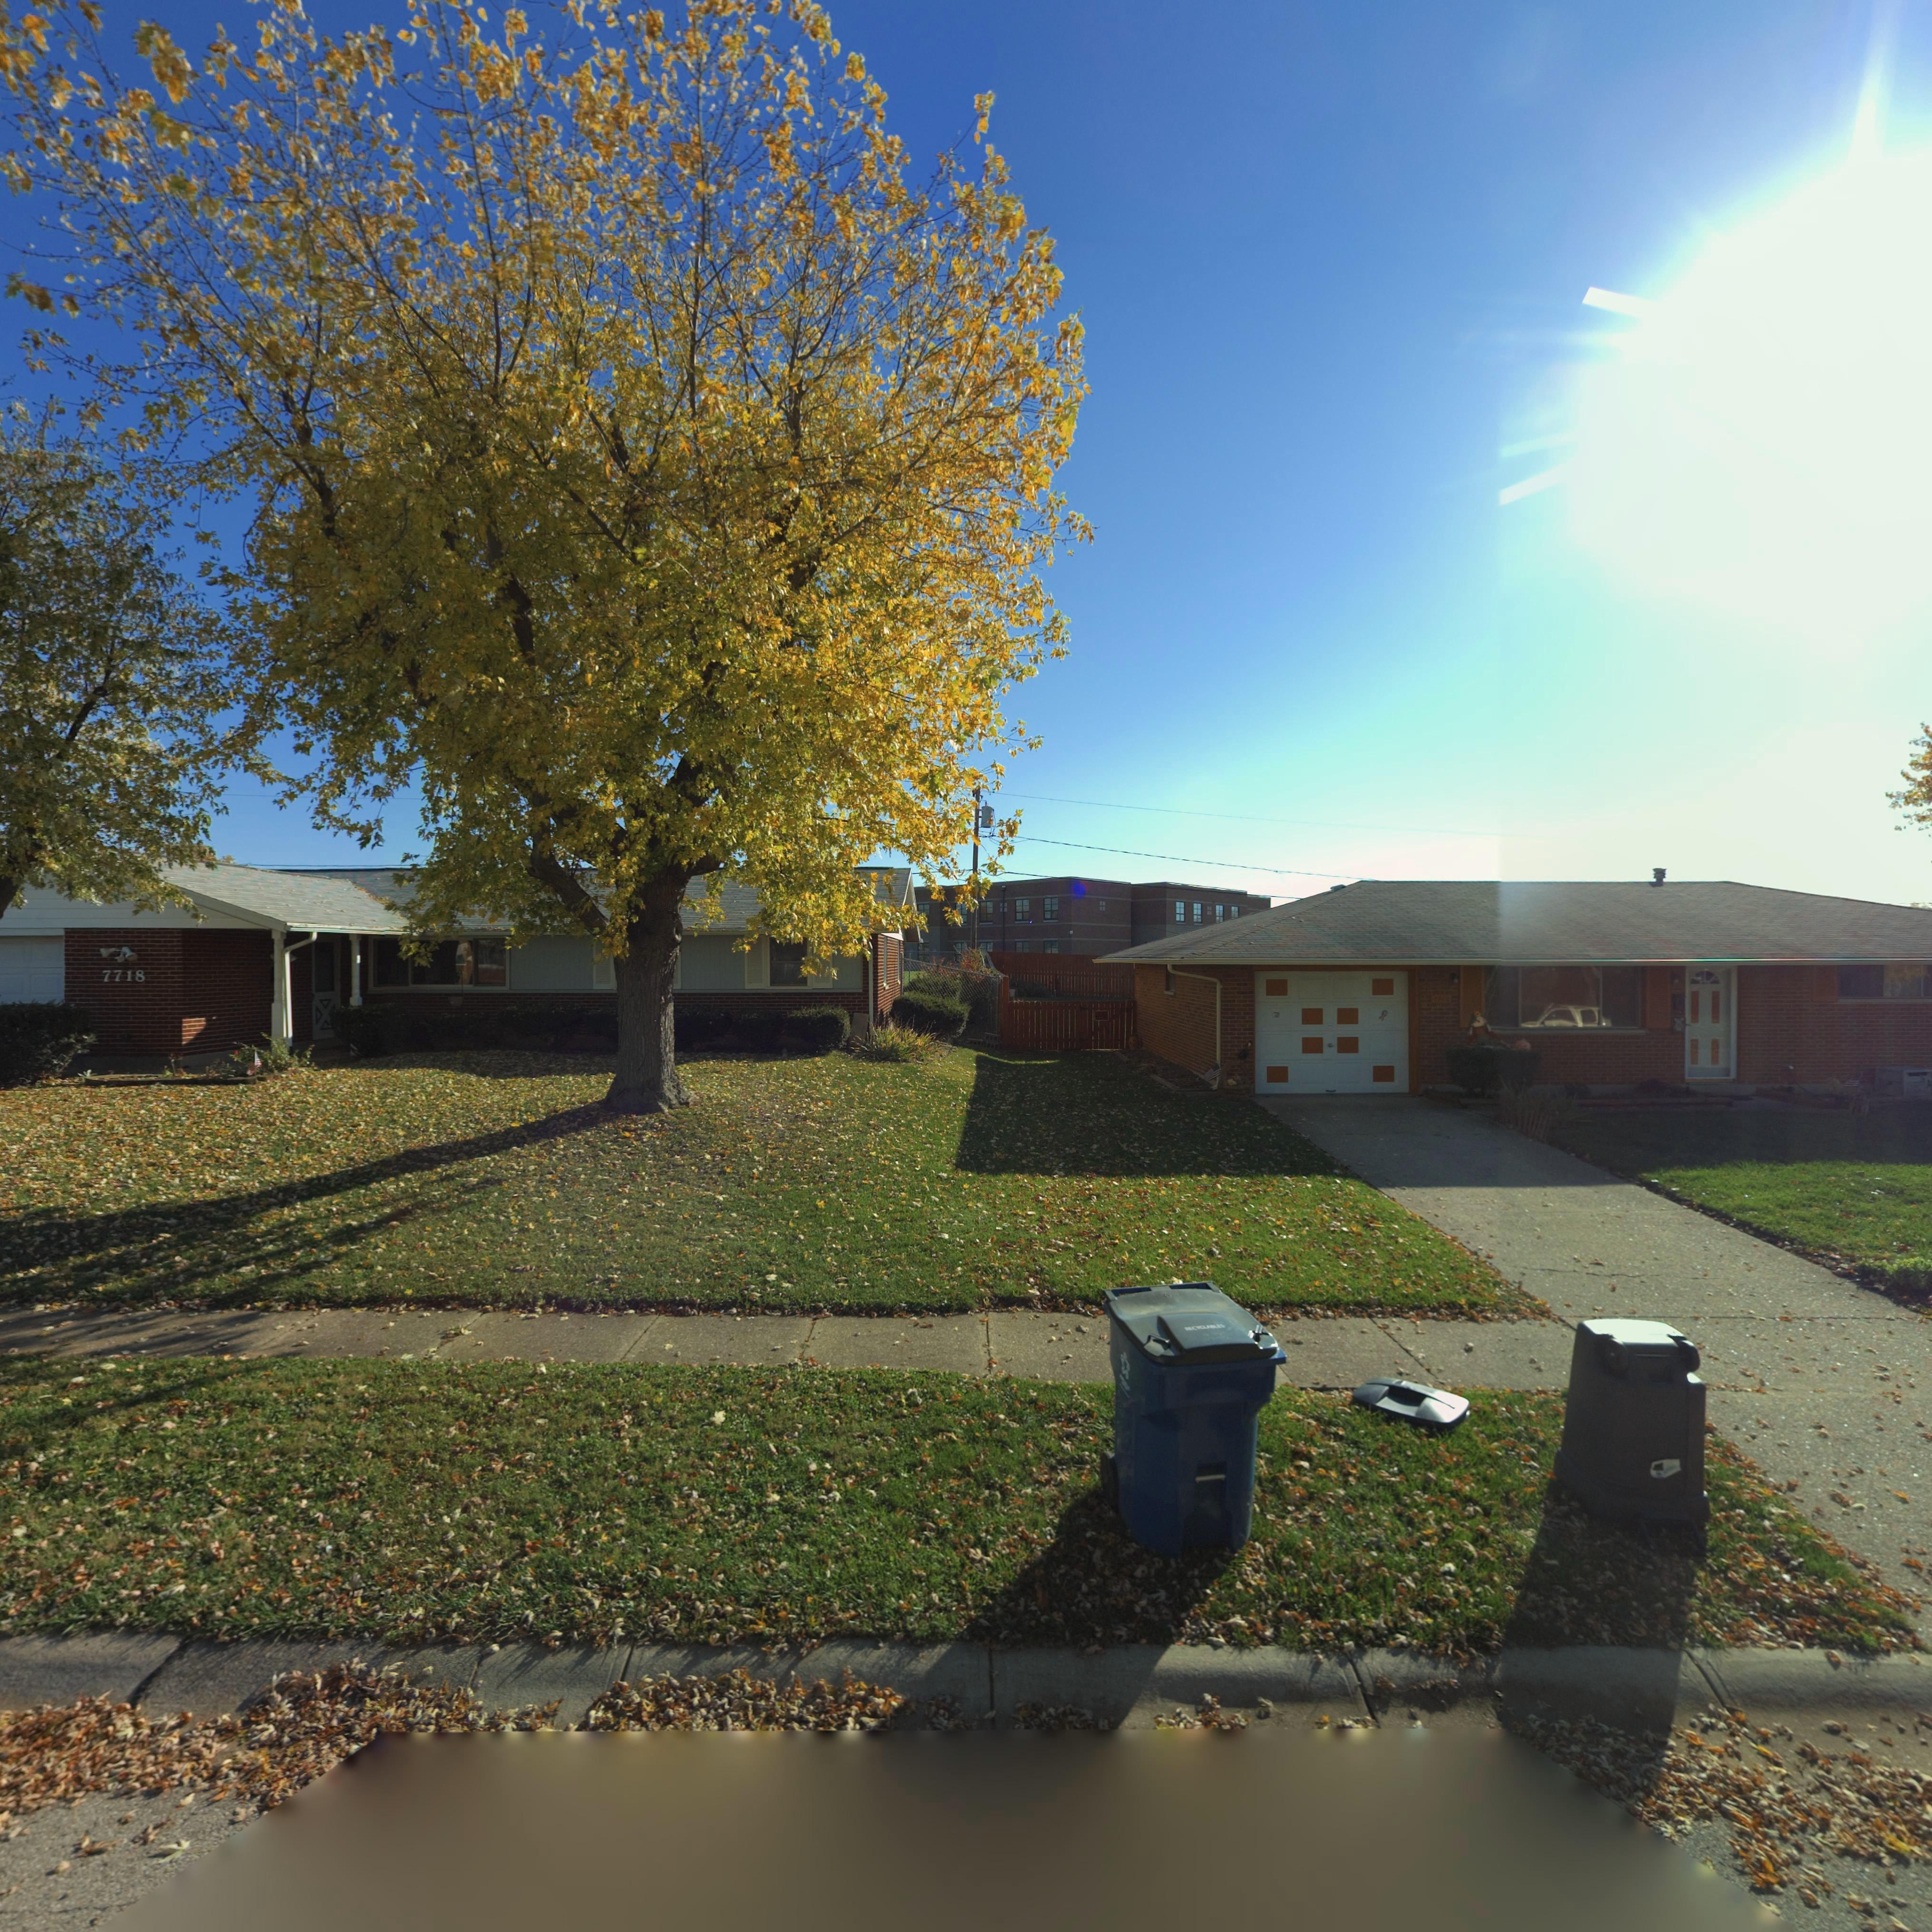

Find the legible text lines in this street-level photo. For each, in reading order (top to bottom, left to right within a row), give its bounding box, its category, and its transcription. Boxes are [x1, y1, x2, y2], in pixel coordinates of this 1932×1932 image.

[102, 969, 146, 983] StreetNumber: 7718
[1433, 995, 1450, 1003] StreetNumber: 7***